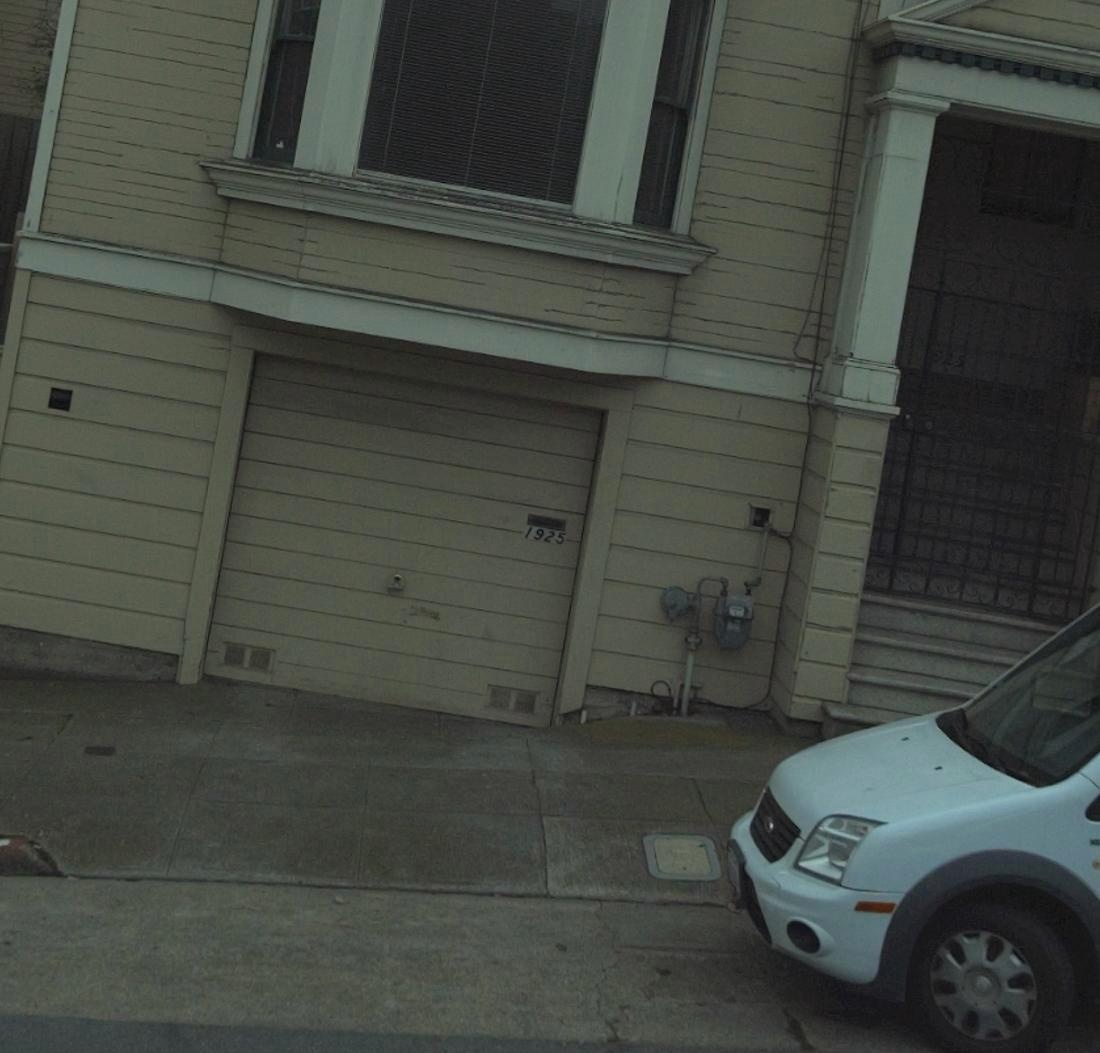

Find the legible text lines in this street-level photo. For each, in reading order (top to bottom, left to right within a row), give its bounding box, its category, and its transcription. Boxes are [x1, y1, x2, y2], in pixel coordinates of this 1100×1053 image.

[522, 525, 568, 546] StreetNumber: 1925